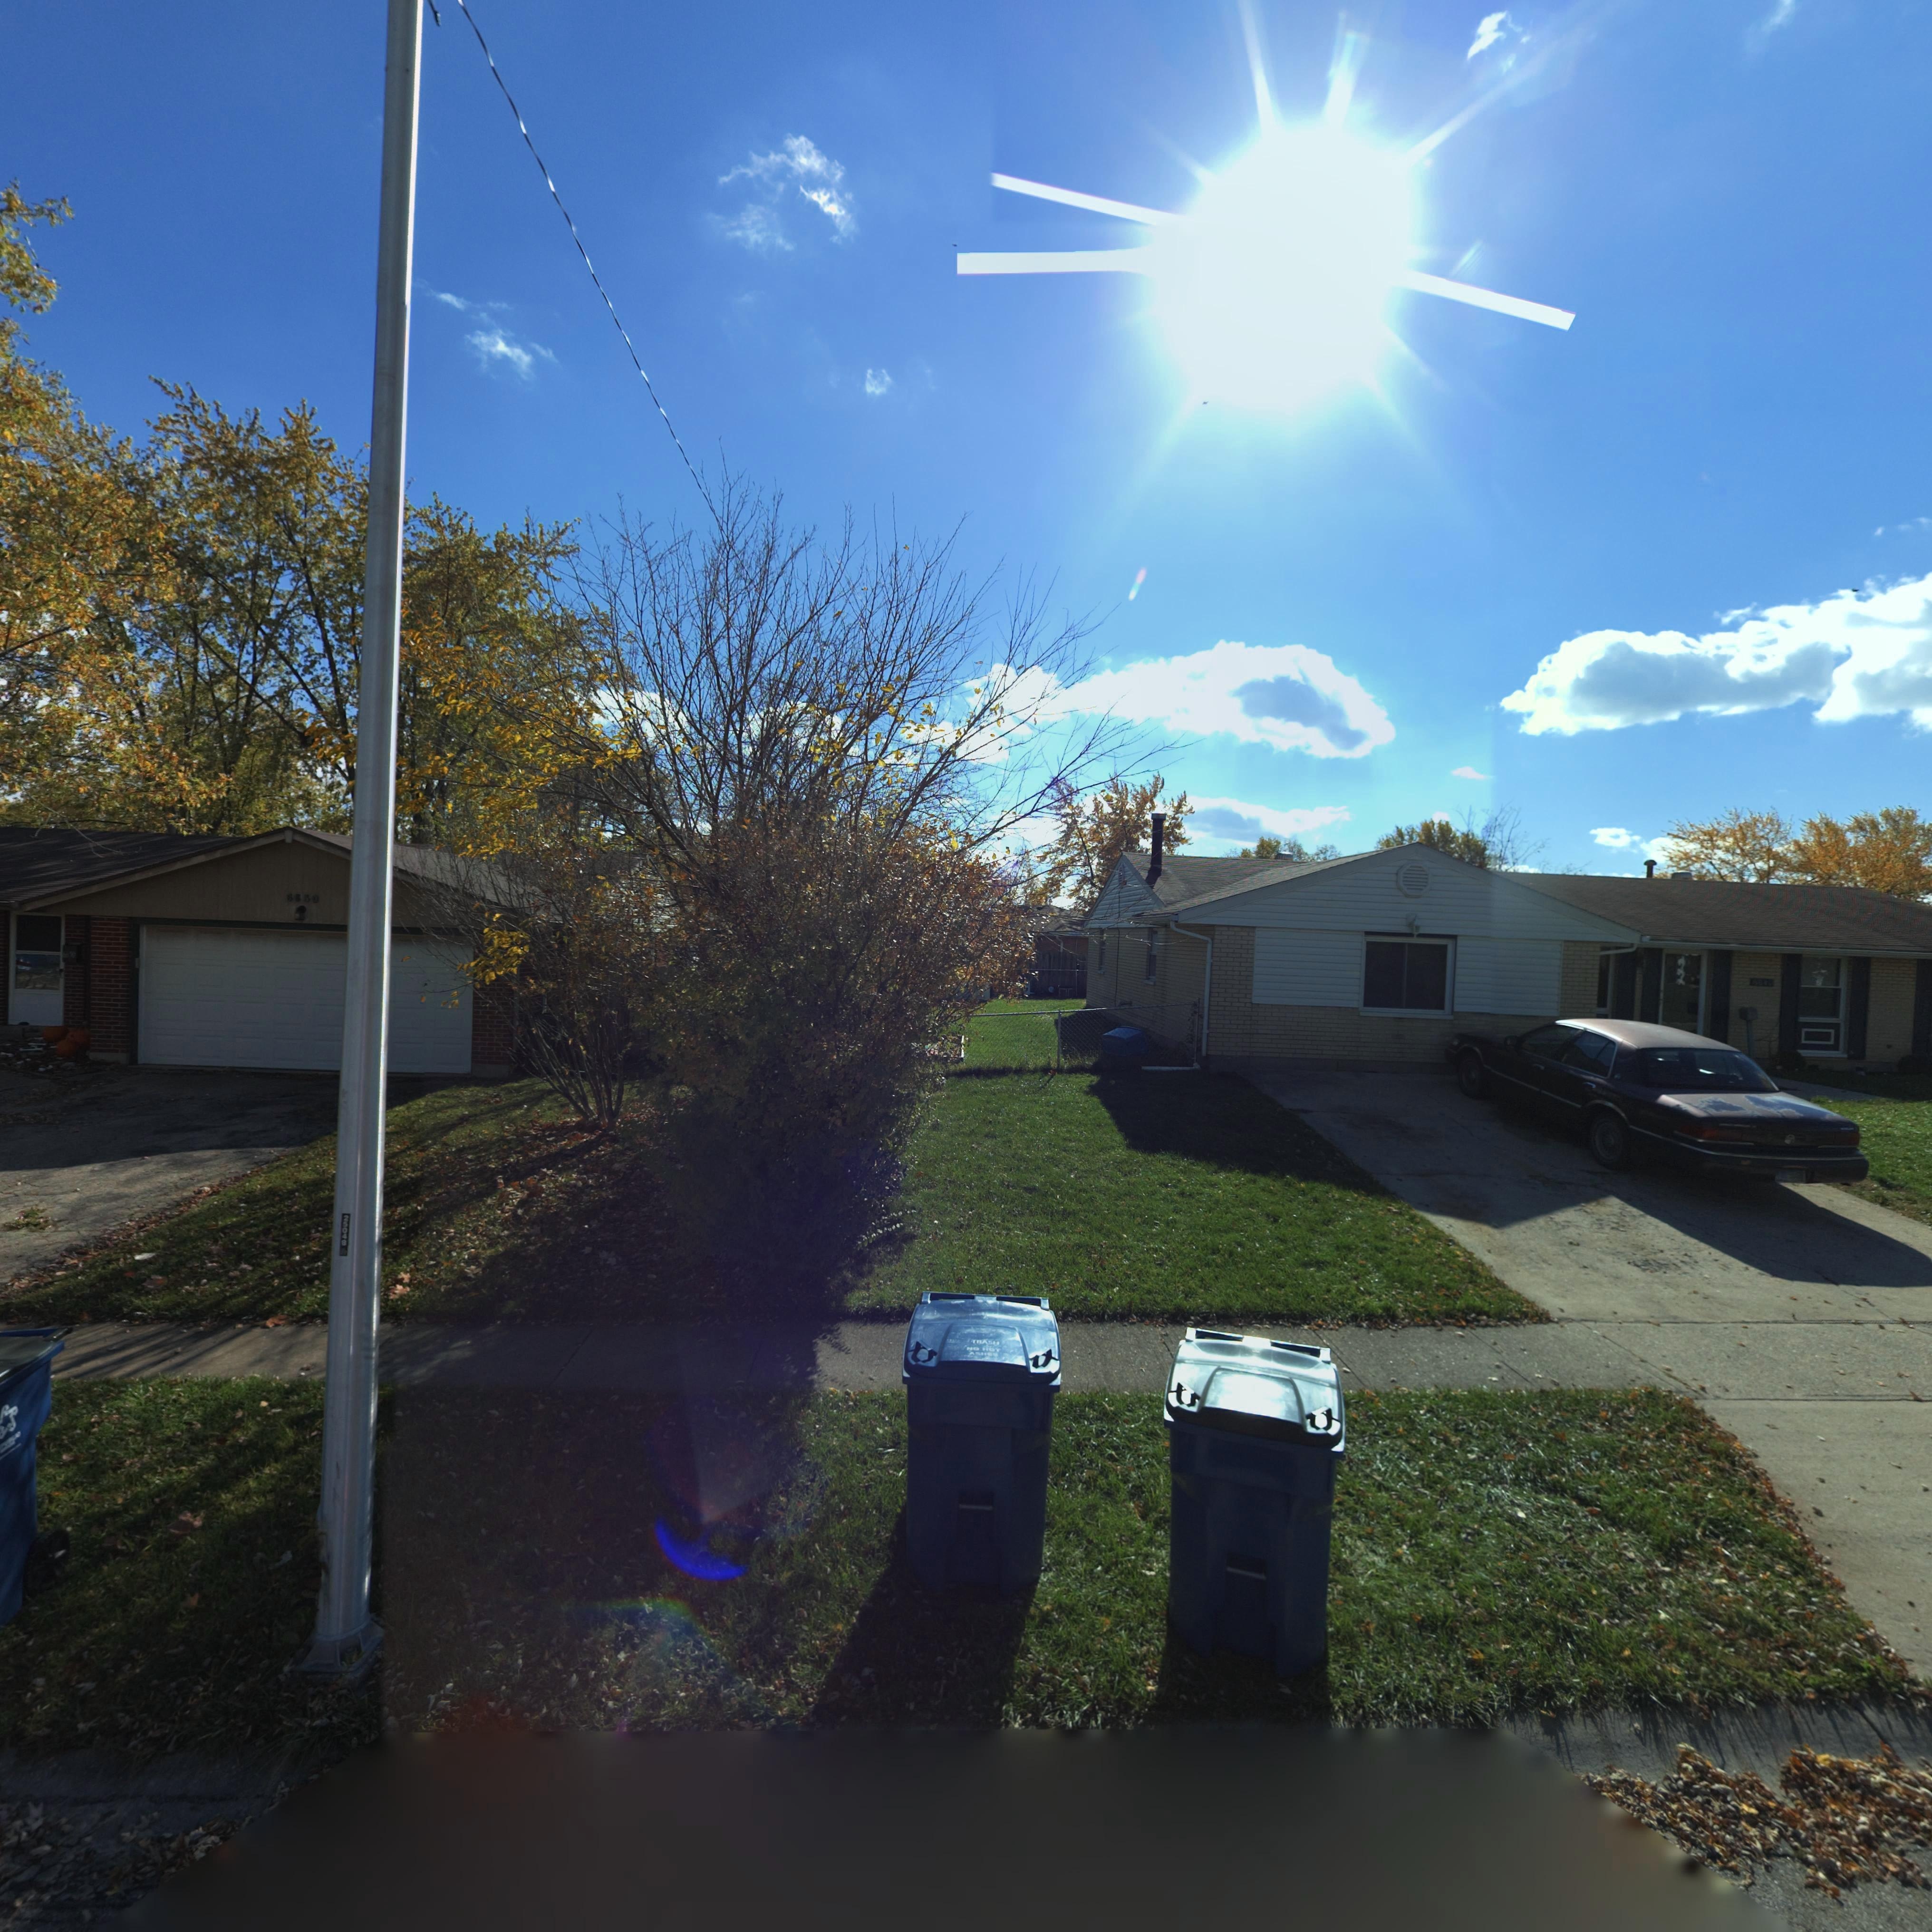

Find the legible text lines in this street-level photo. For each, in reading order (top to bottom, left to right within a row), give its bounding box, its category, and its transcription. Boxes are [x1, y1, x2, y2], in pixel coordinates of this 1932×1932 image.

[286, 892, 320, 904] StreetNumber: 6650
[1751, 978, 1774, 987] StreetNumber: 664*